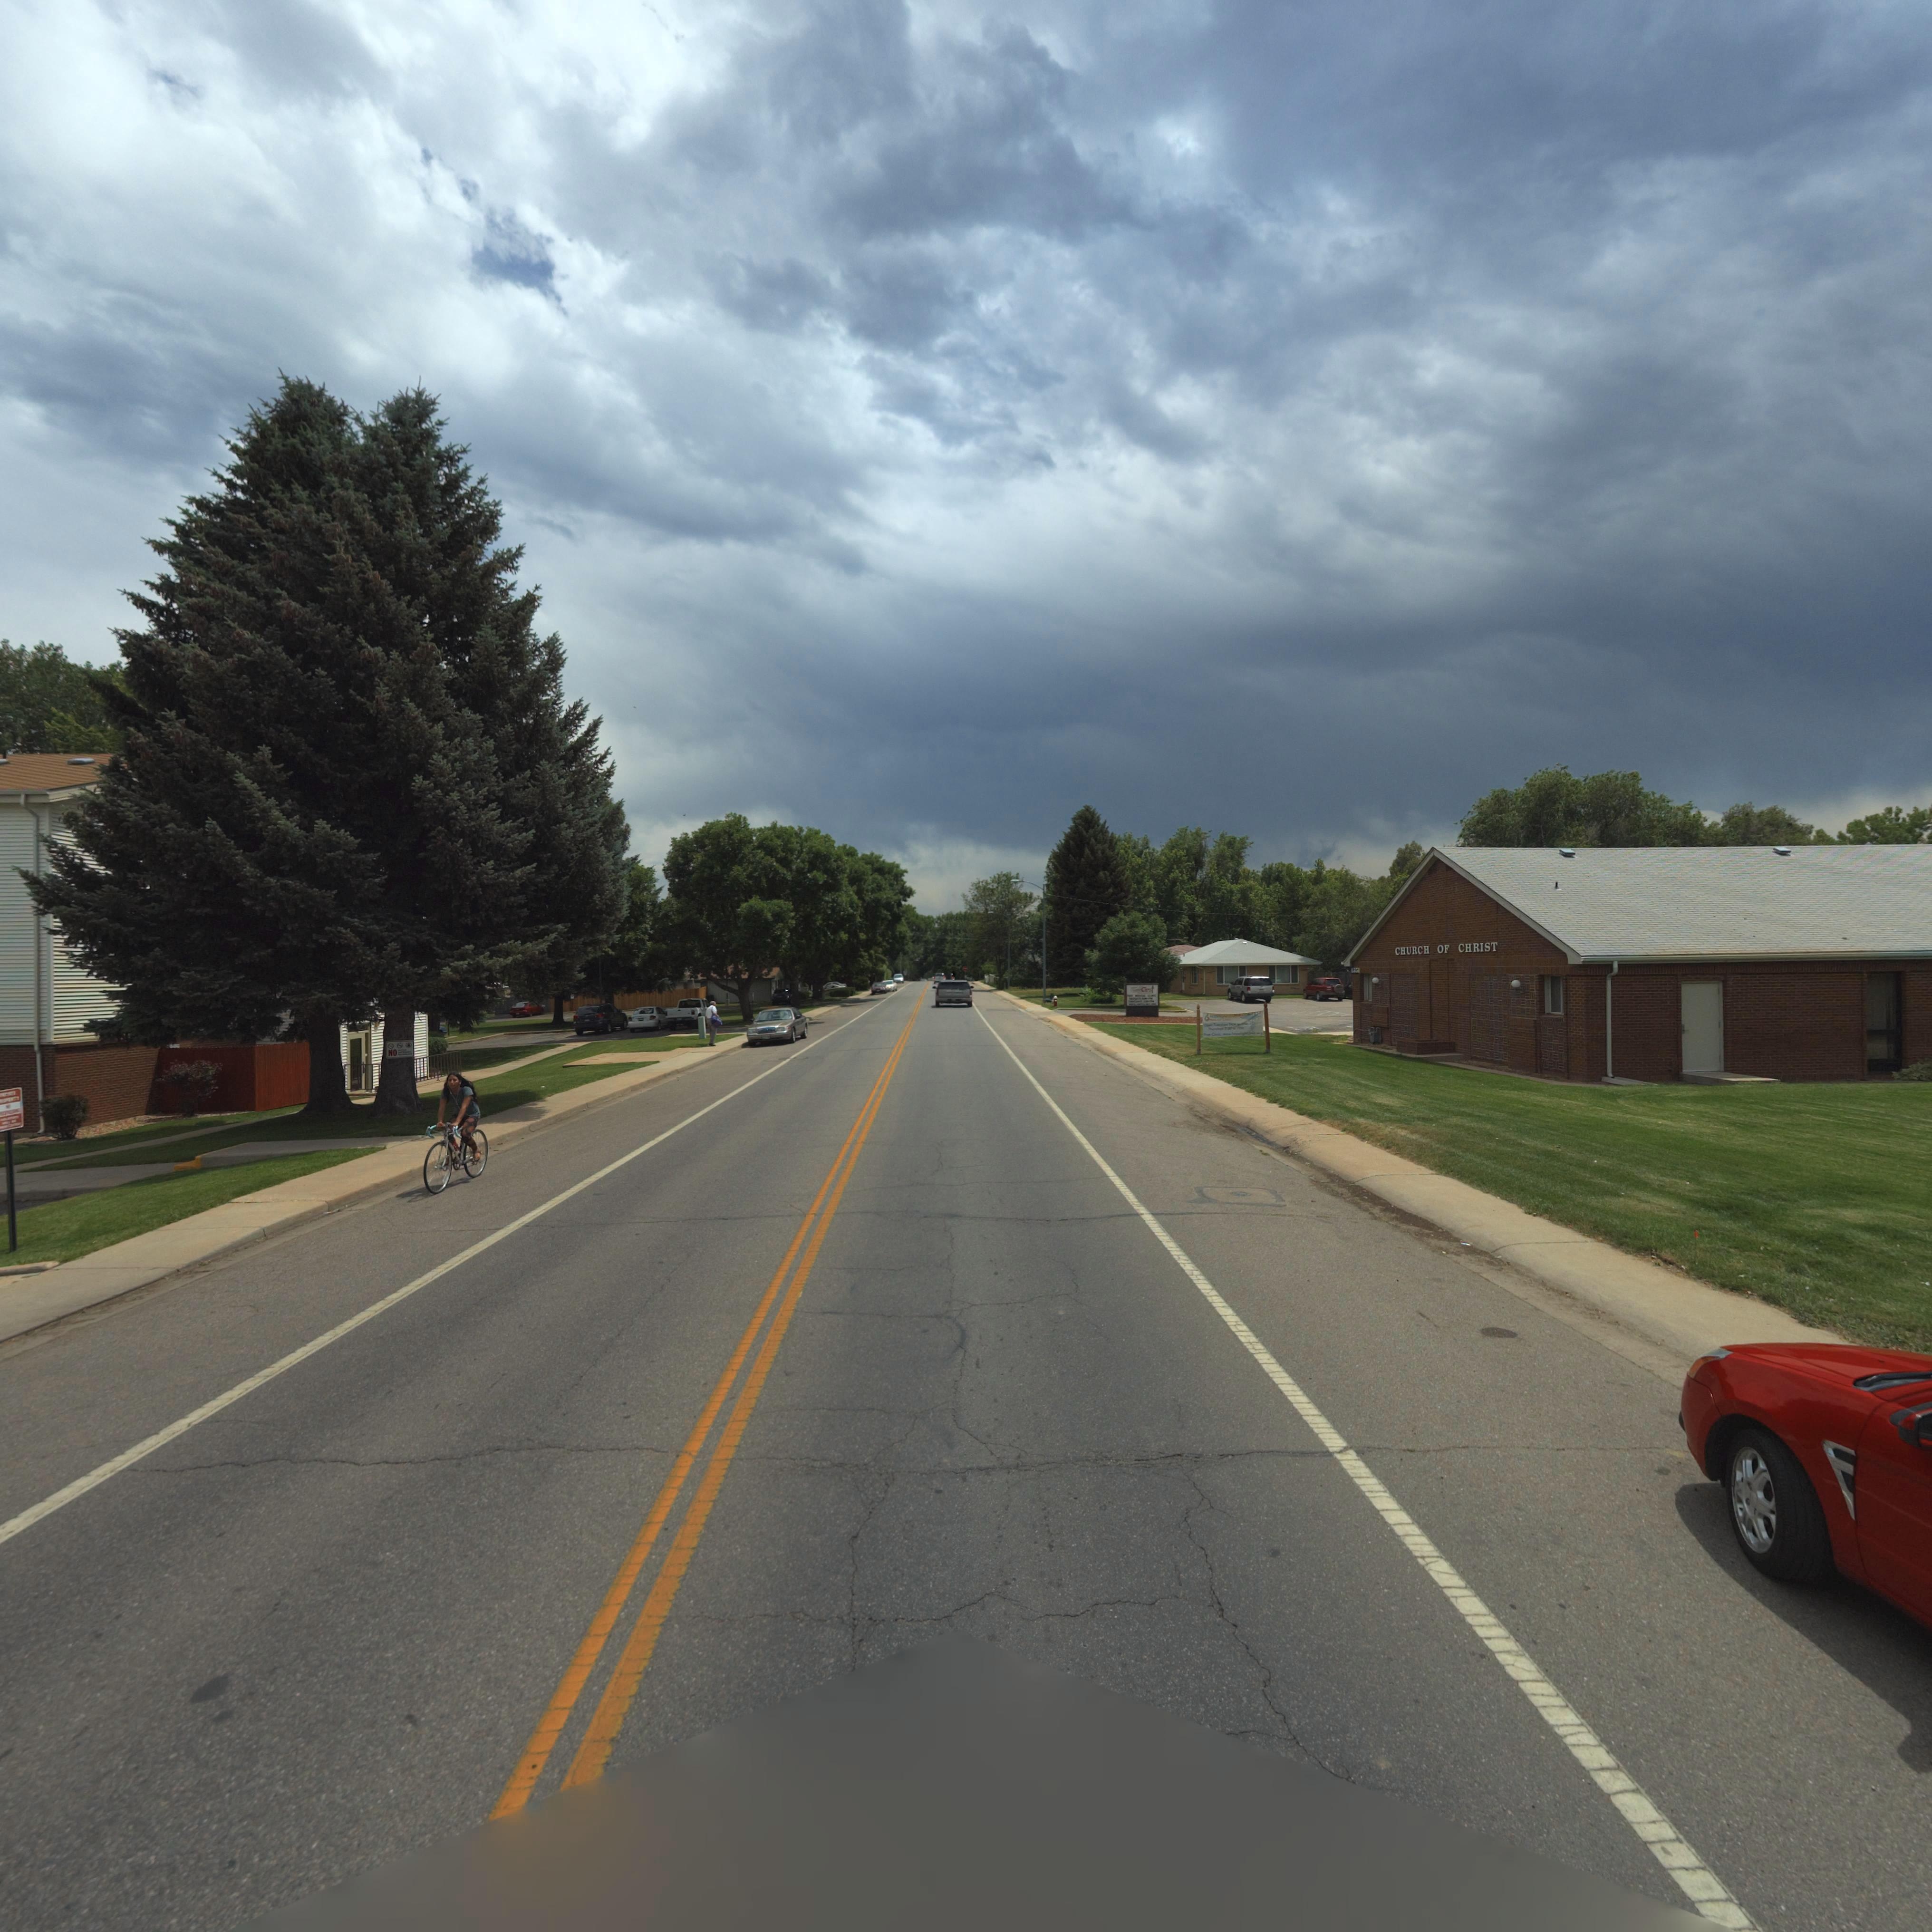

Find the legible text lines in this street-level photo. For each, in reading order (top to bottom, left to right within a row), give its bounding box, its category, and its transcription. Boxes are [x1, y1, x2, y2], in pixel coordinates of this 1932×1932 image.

[1395, 942, 1497, 955] BusinessName: CHURCH OF CHRIST
[1351, 967, 1360, 973] StreetNumber: 1*51
[1140, 985, 1154, 993] BusinessName: C****t